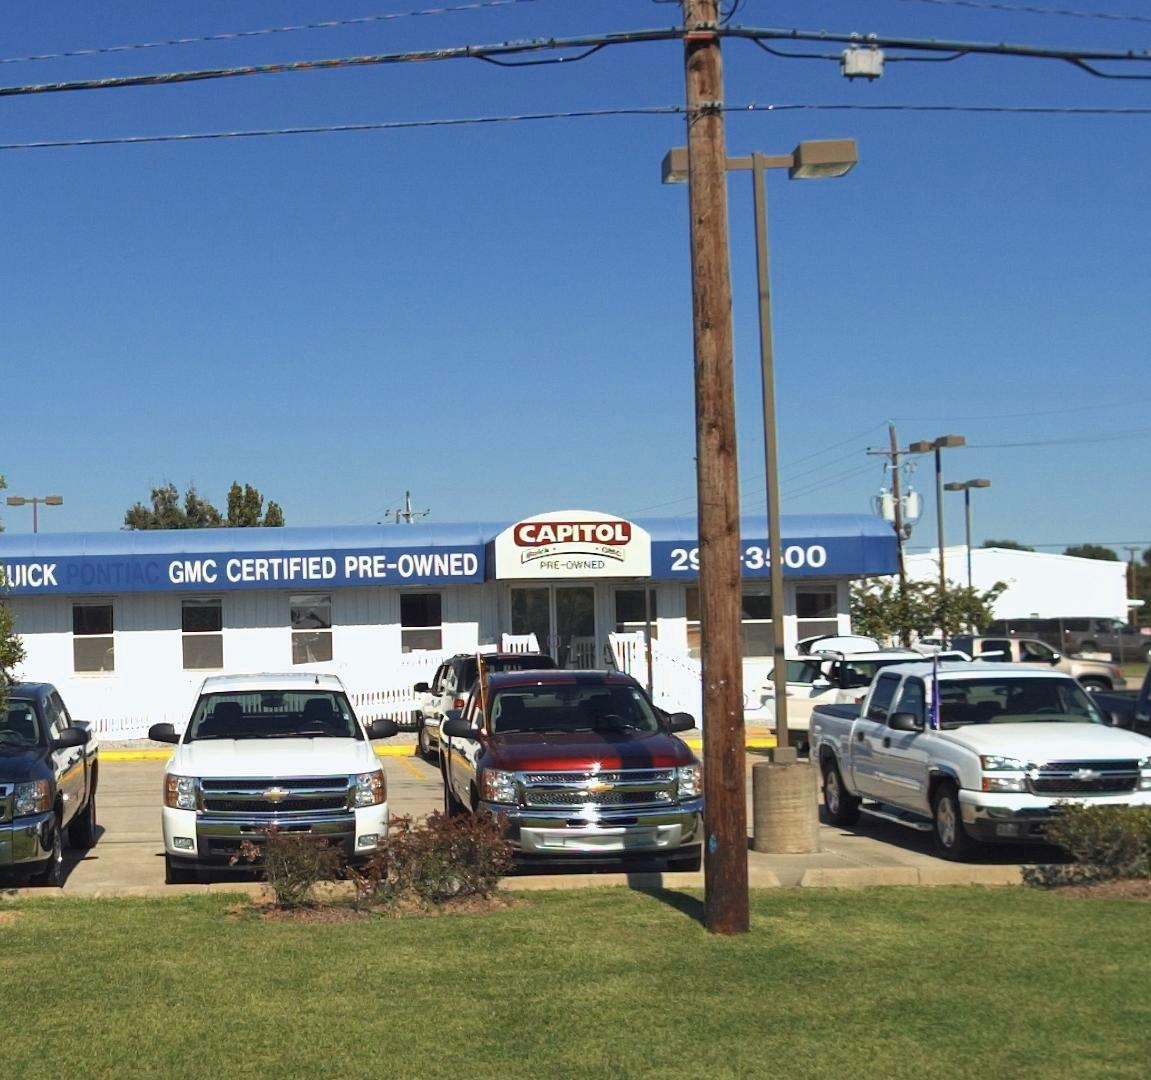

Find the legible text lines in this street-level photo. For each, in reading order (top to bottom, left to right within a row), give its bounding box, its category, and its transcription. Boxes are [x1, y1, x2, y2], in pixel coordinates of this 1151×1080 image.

[517, 522, 630, 545] BusinessName: CAPITOL
[3, 549, 481, 591] None: UICK PONTIAC GMC CERTIFIED PRE-OWNED
[538, 559, 607, 571] None: PRE-OWNED
[667, 544, 694, 574] None: 2
[742, 542, 767, 572] None: 3
[780, 541, 832, 572] None: 00